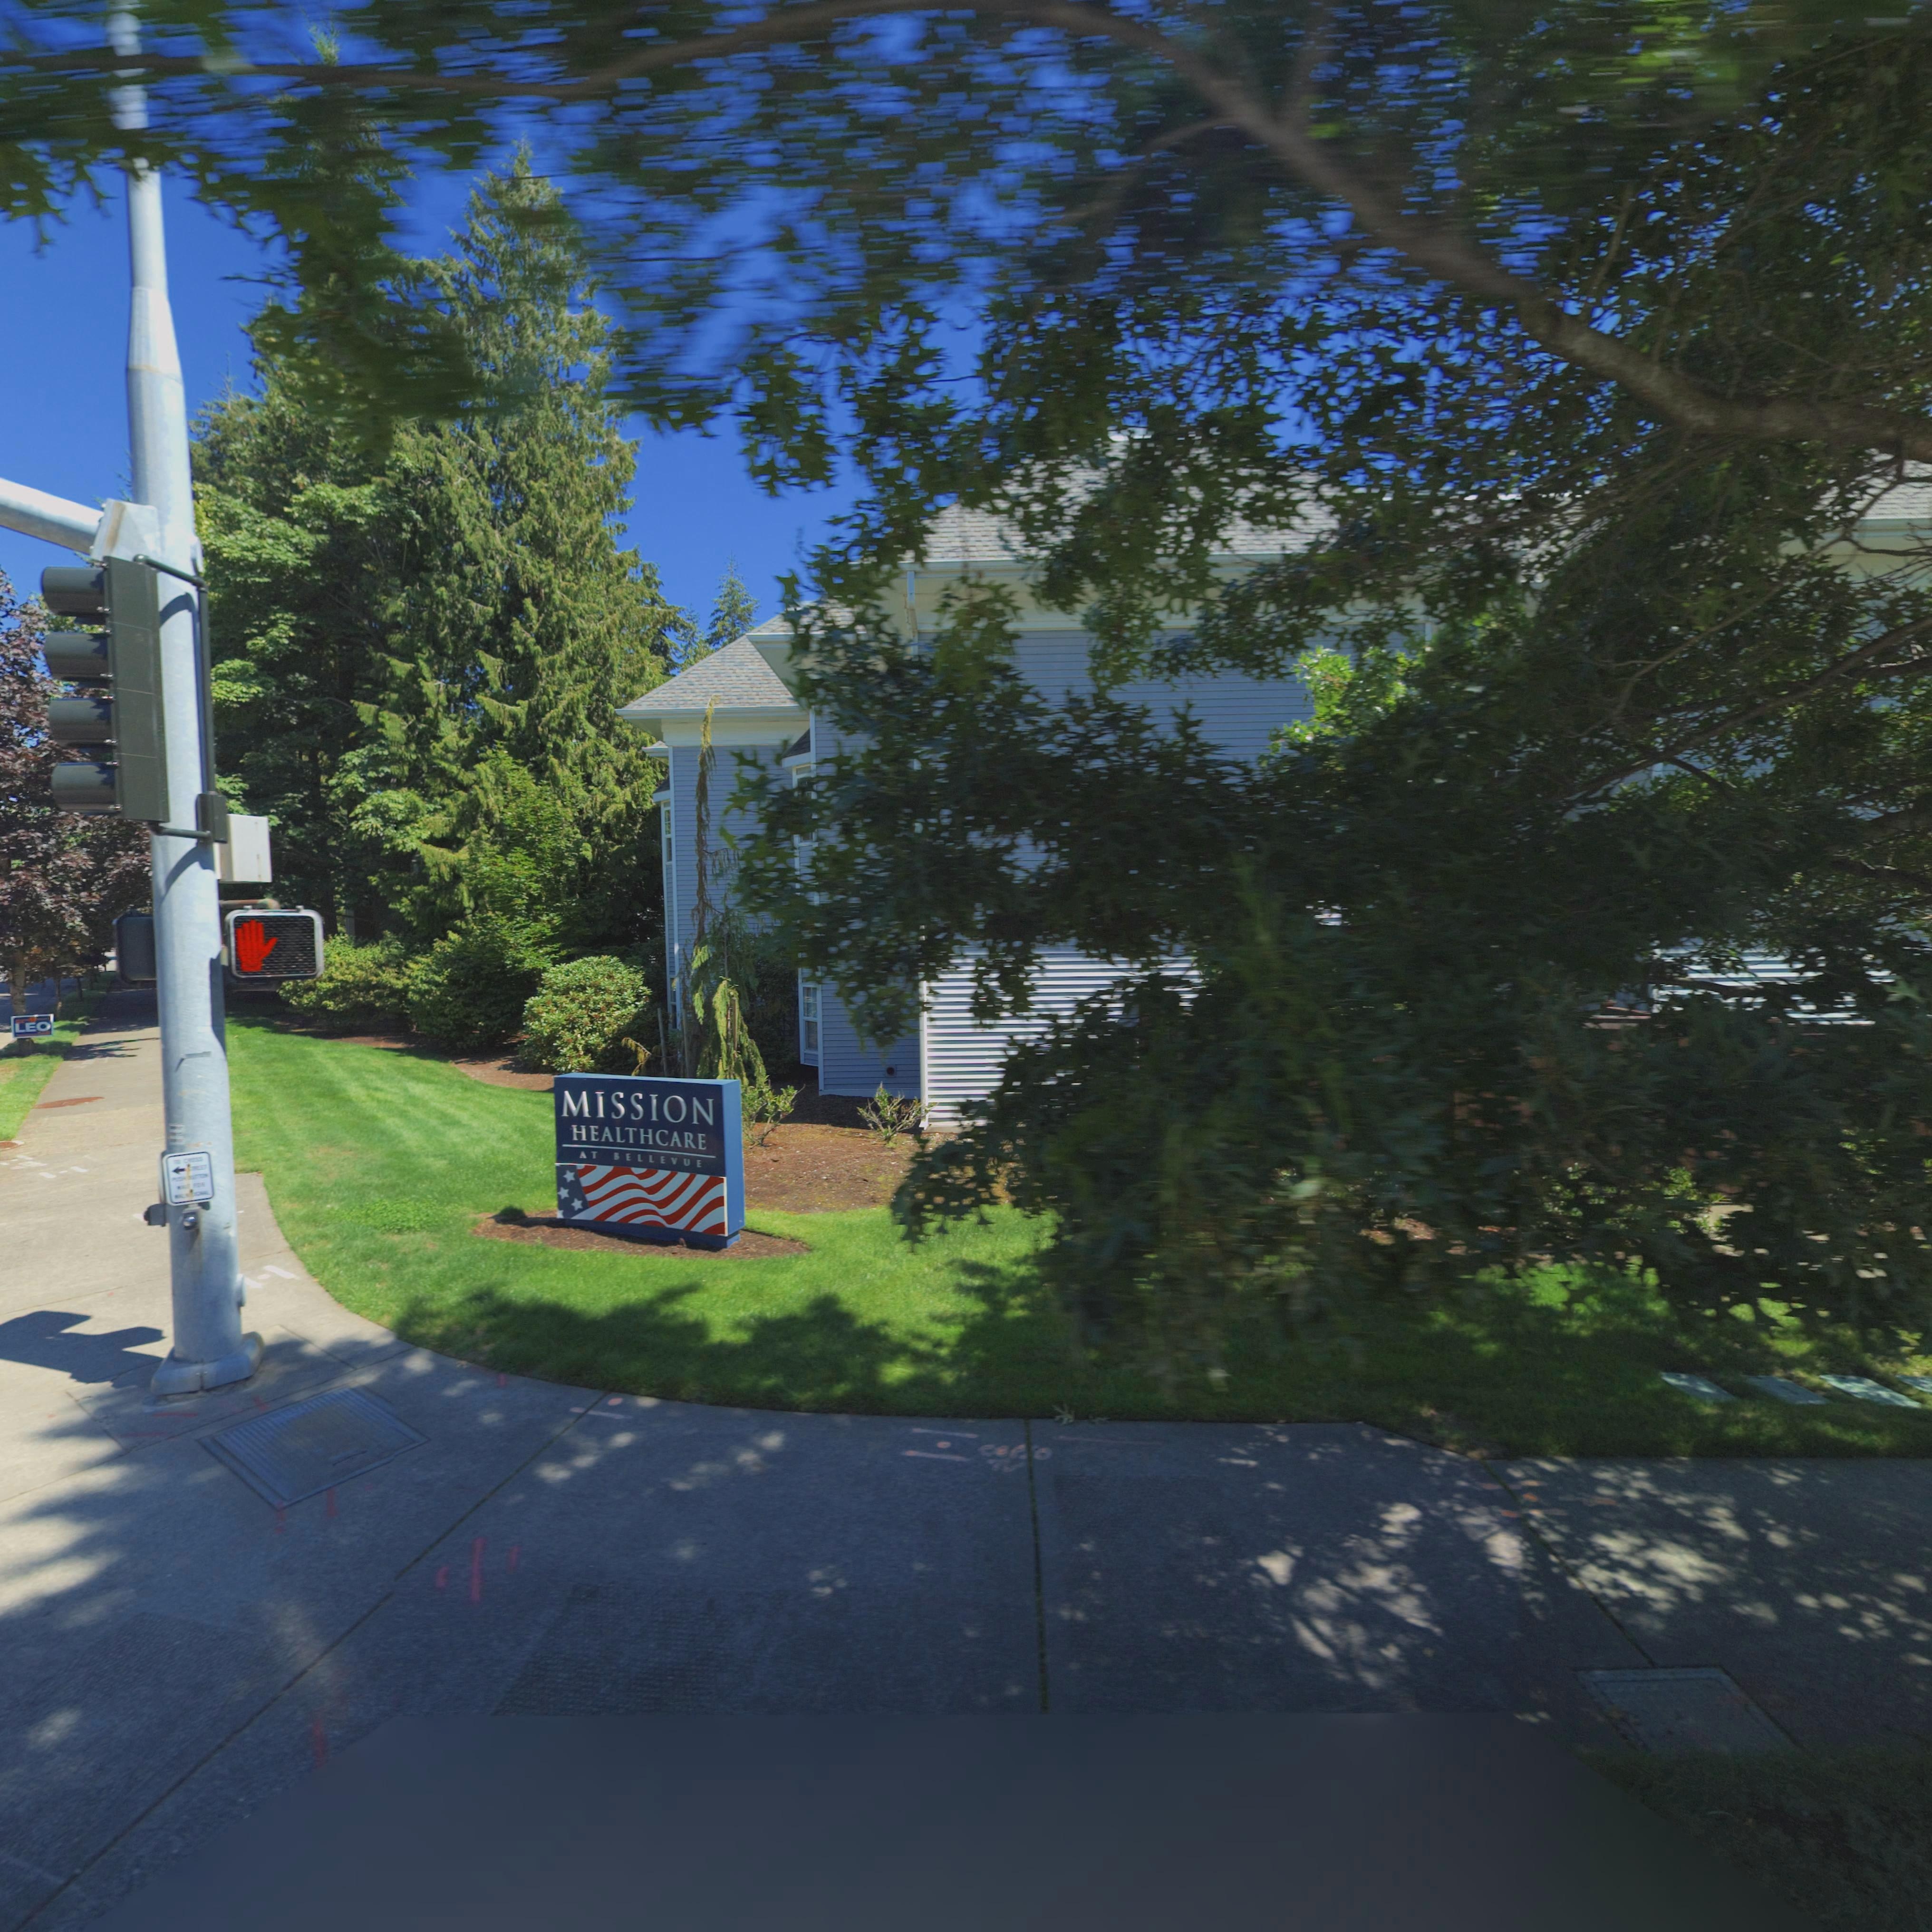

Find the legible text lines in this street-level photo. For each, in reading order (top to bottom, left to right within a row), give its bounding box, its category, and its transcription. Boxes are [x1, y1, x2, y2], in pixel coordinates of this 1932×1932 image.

[560, 1087, 715, 1127] BusinessName: MISSION
[571, 1124, 705, 1150] BusinessName: HEALTHCARE
[578, 1148, 707, 1169] BusinessName: AT BELLEVUE